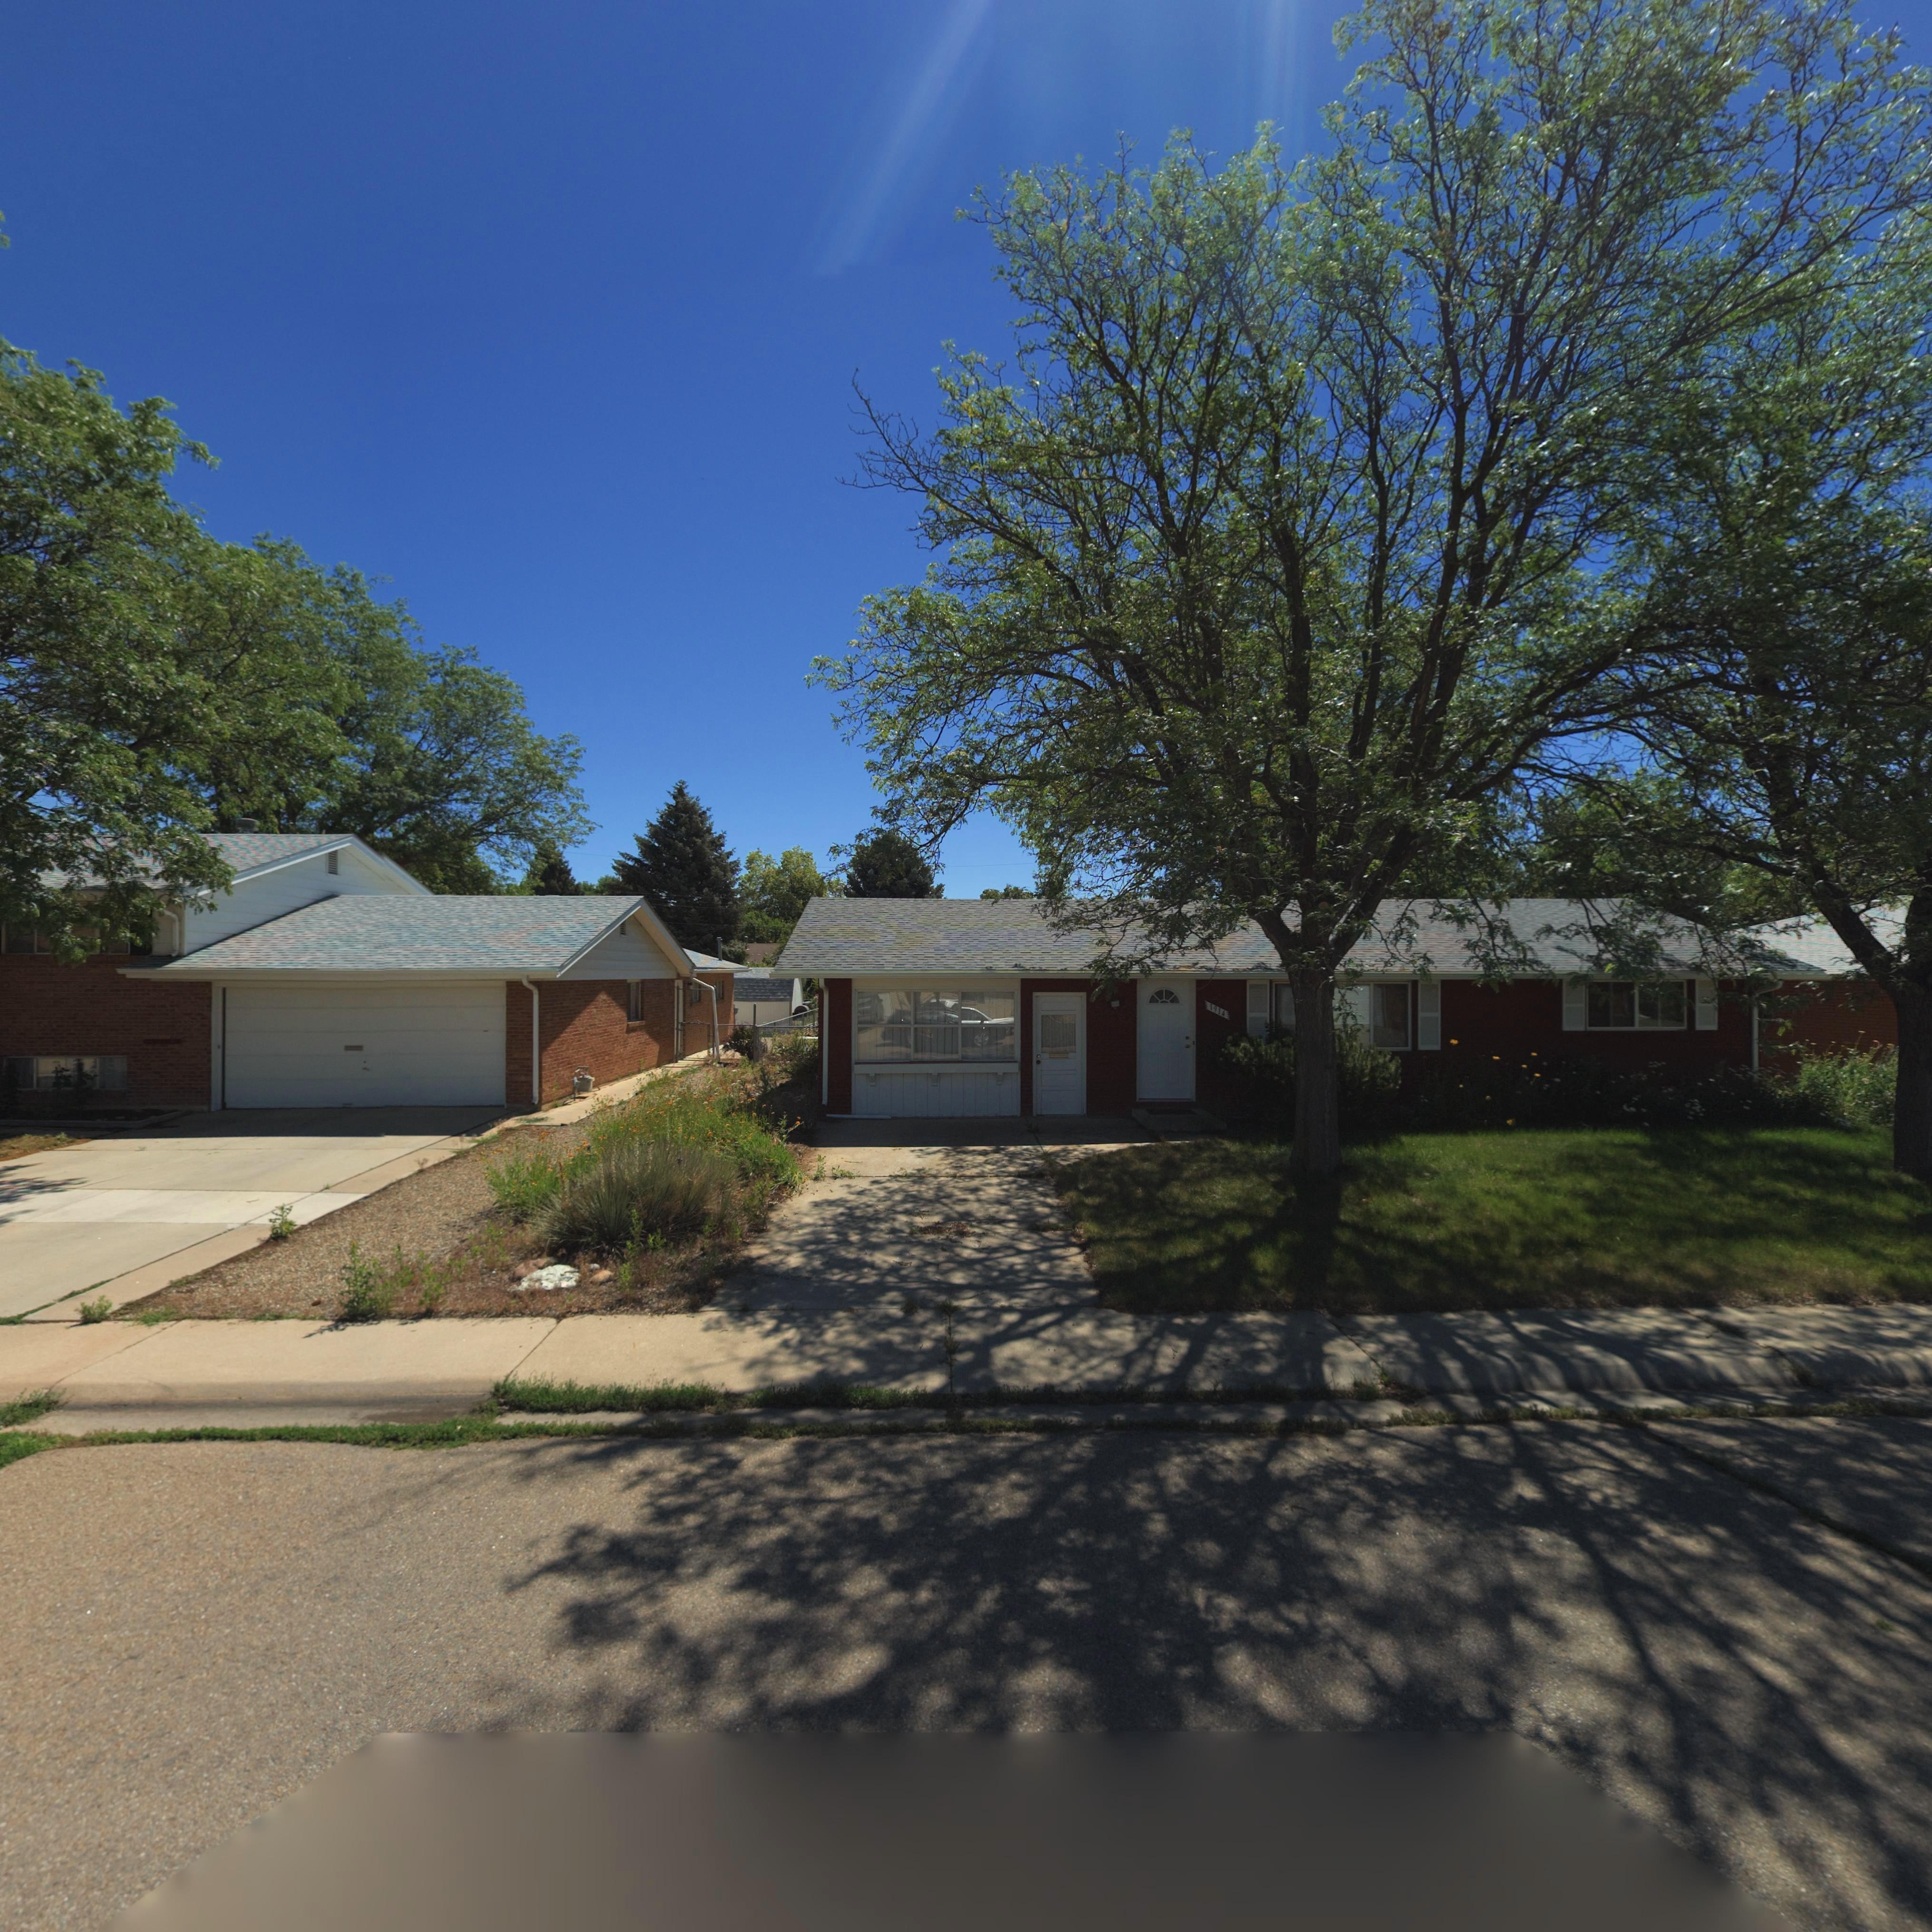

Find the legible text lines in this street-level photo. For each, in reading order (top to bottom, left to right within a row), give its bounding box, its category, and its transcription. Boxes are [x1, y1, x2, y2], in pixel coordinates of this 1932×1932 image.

[1209, 1003, 1225, 1016] StreetNumber: 1914